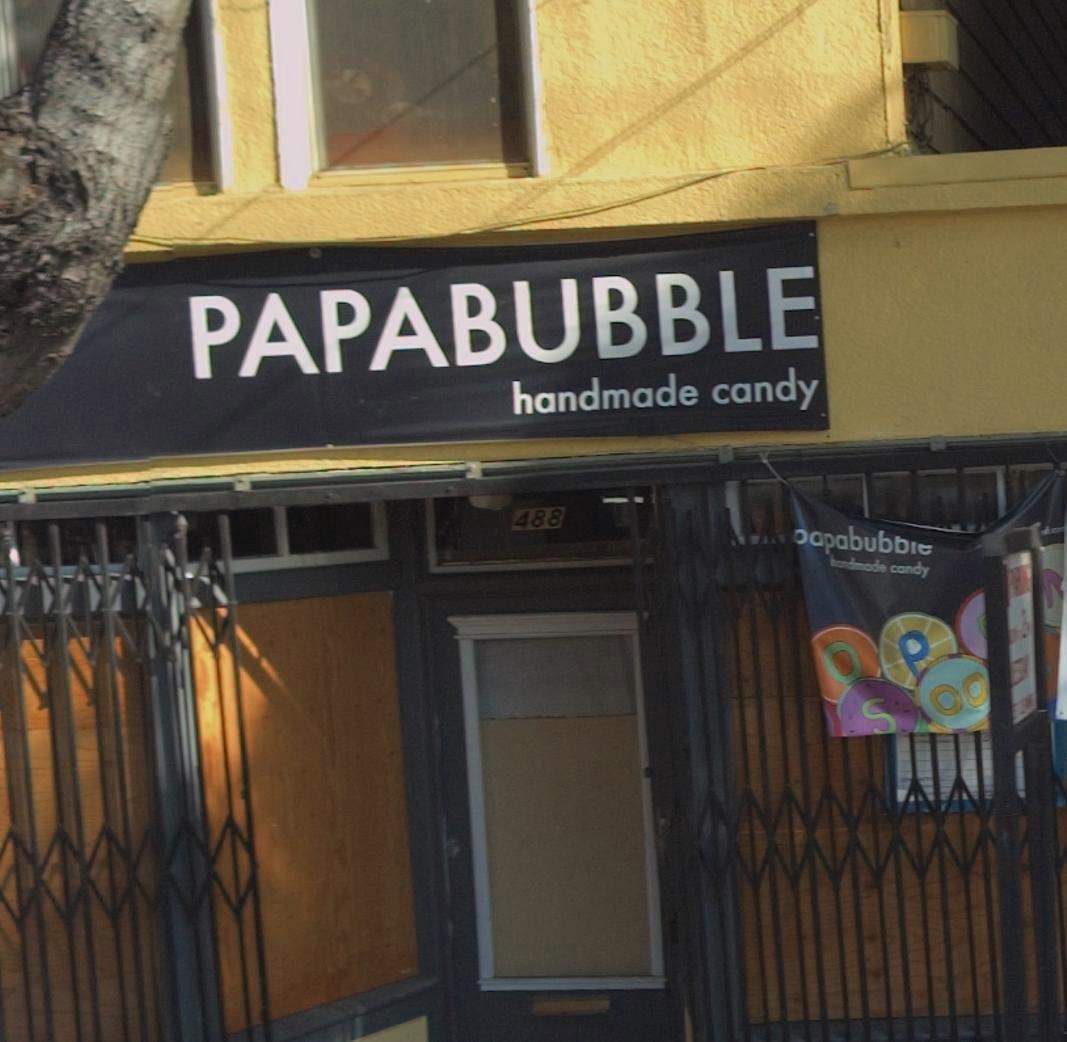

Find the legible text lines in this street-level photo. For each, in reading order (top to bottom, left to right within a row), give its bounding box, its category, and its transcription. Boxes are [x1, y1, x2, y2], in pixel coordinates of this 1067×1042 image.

[184, 261, 821, 388] BusinessName: PAPABUBBLE
[507, 363, 821, 422] None: homemade candy
[515, 508, 562, 531] StreetNumber: 488
[808, 524, 935, 558] BusinessName: apabub***
[834, 558, 932, 582] None: andmade candy